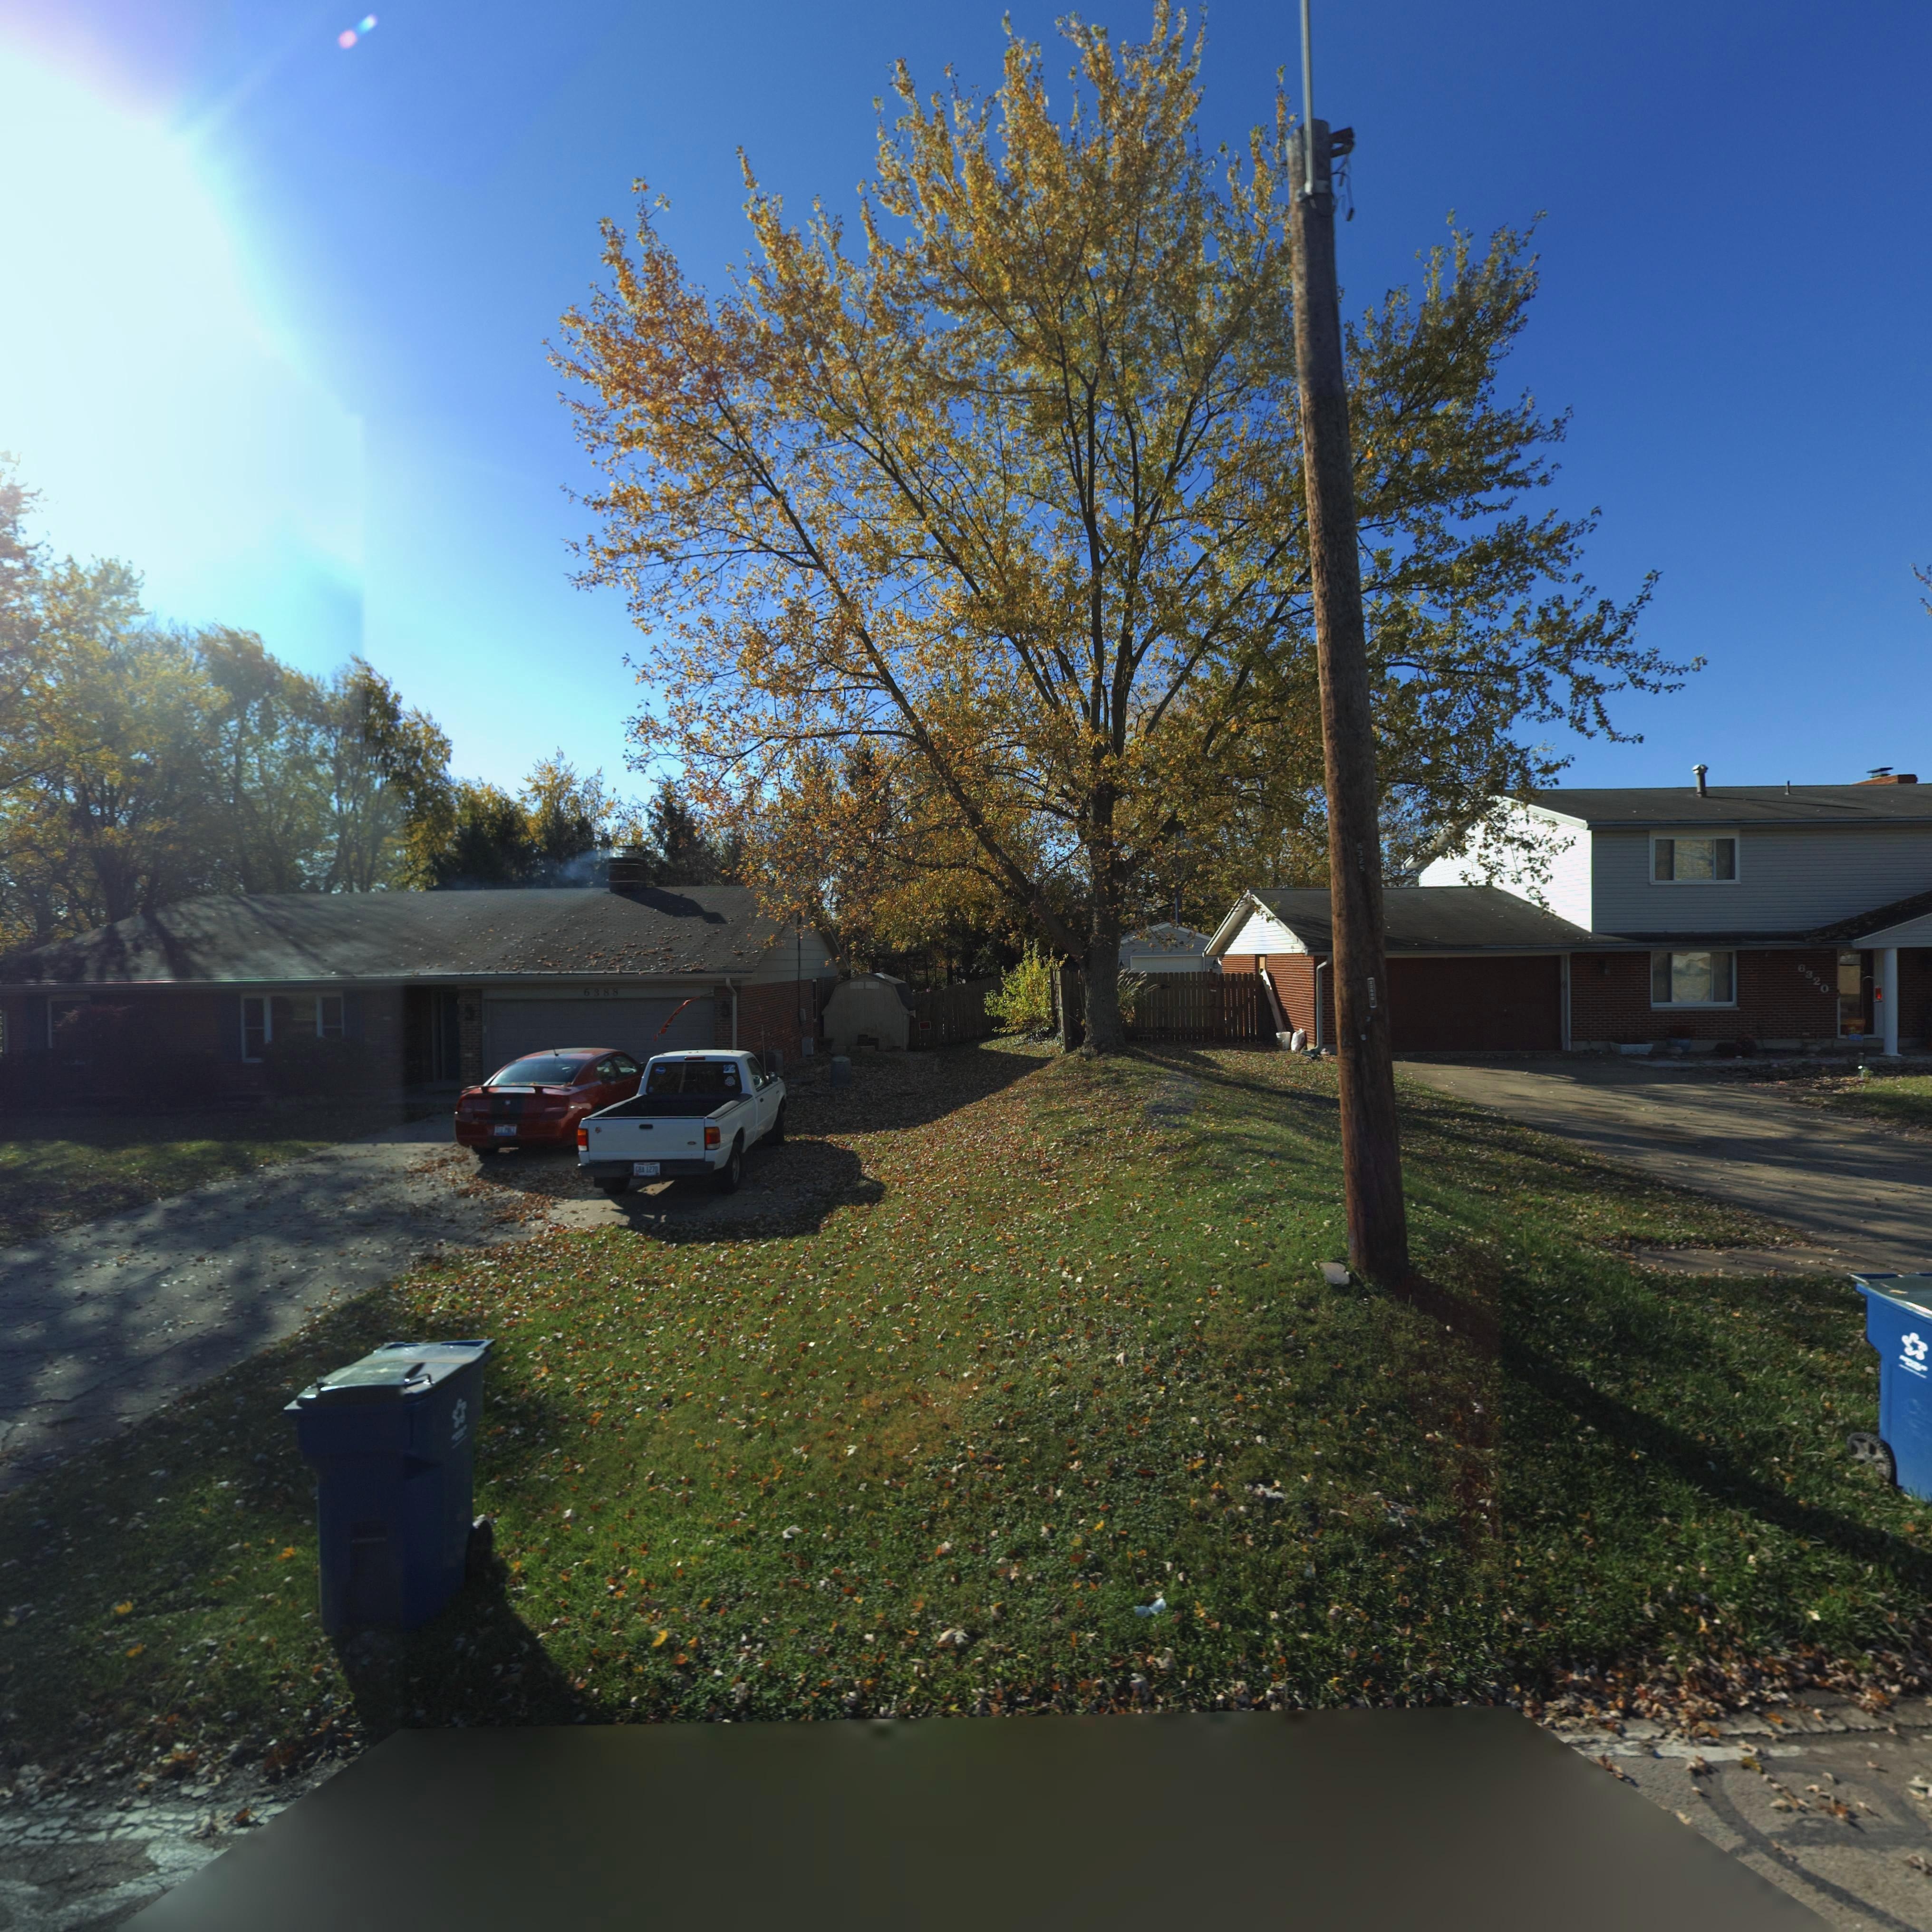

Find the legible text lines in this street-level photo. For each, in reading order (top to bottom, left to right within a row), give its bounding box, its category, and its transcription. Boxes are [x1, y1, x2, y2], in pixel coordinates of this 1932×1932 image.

[582, 986, 619, 998] StreetNumber: 6388
[1796, 962, 1830, 995] StreetNumber: 6320